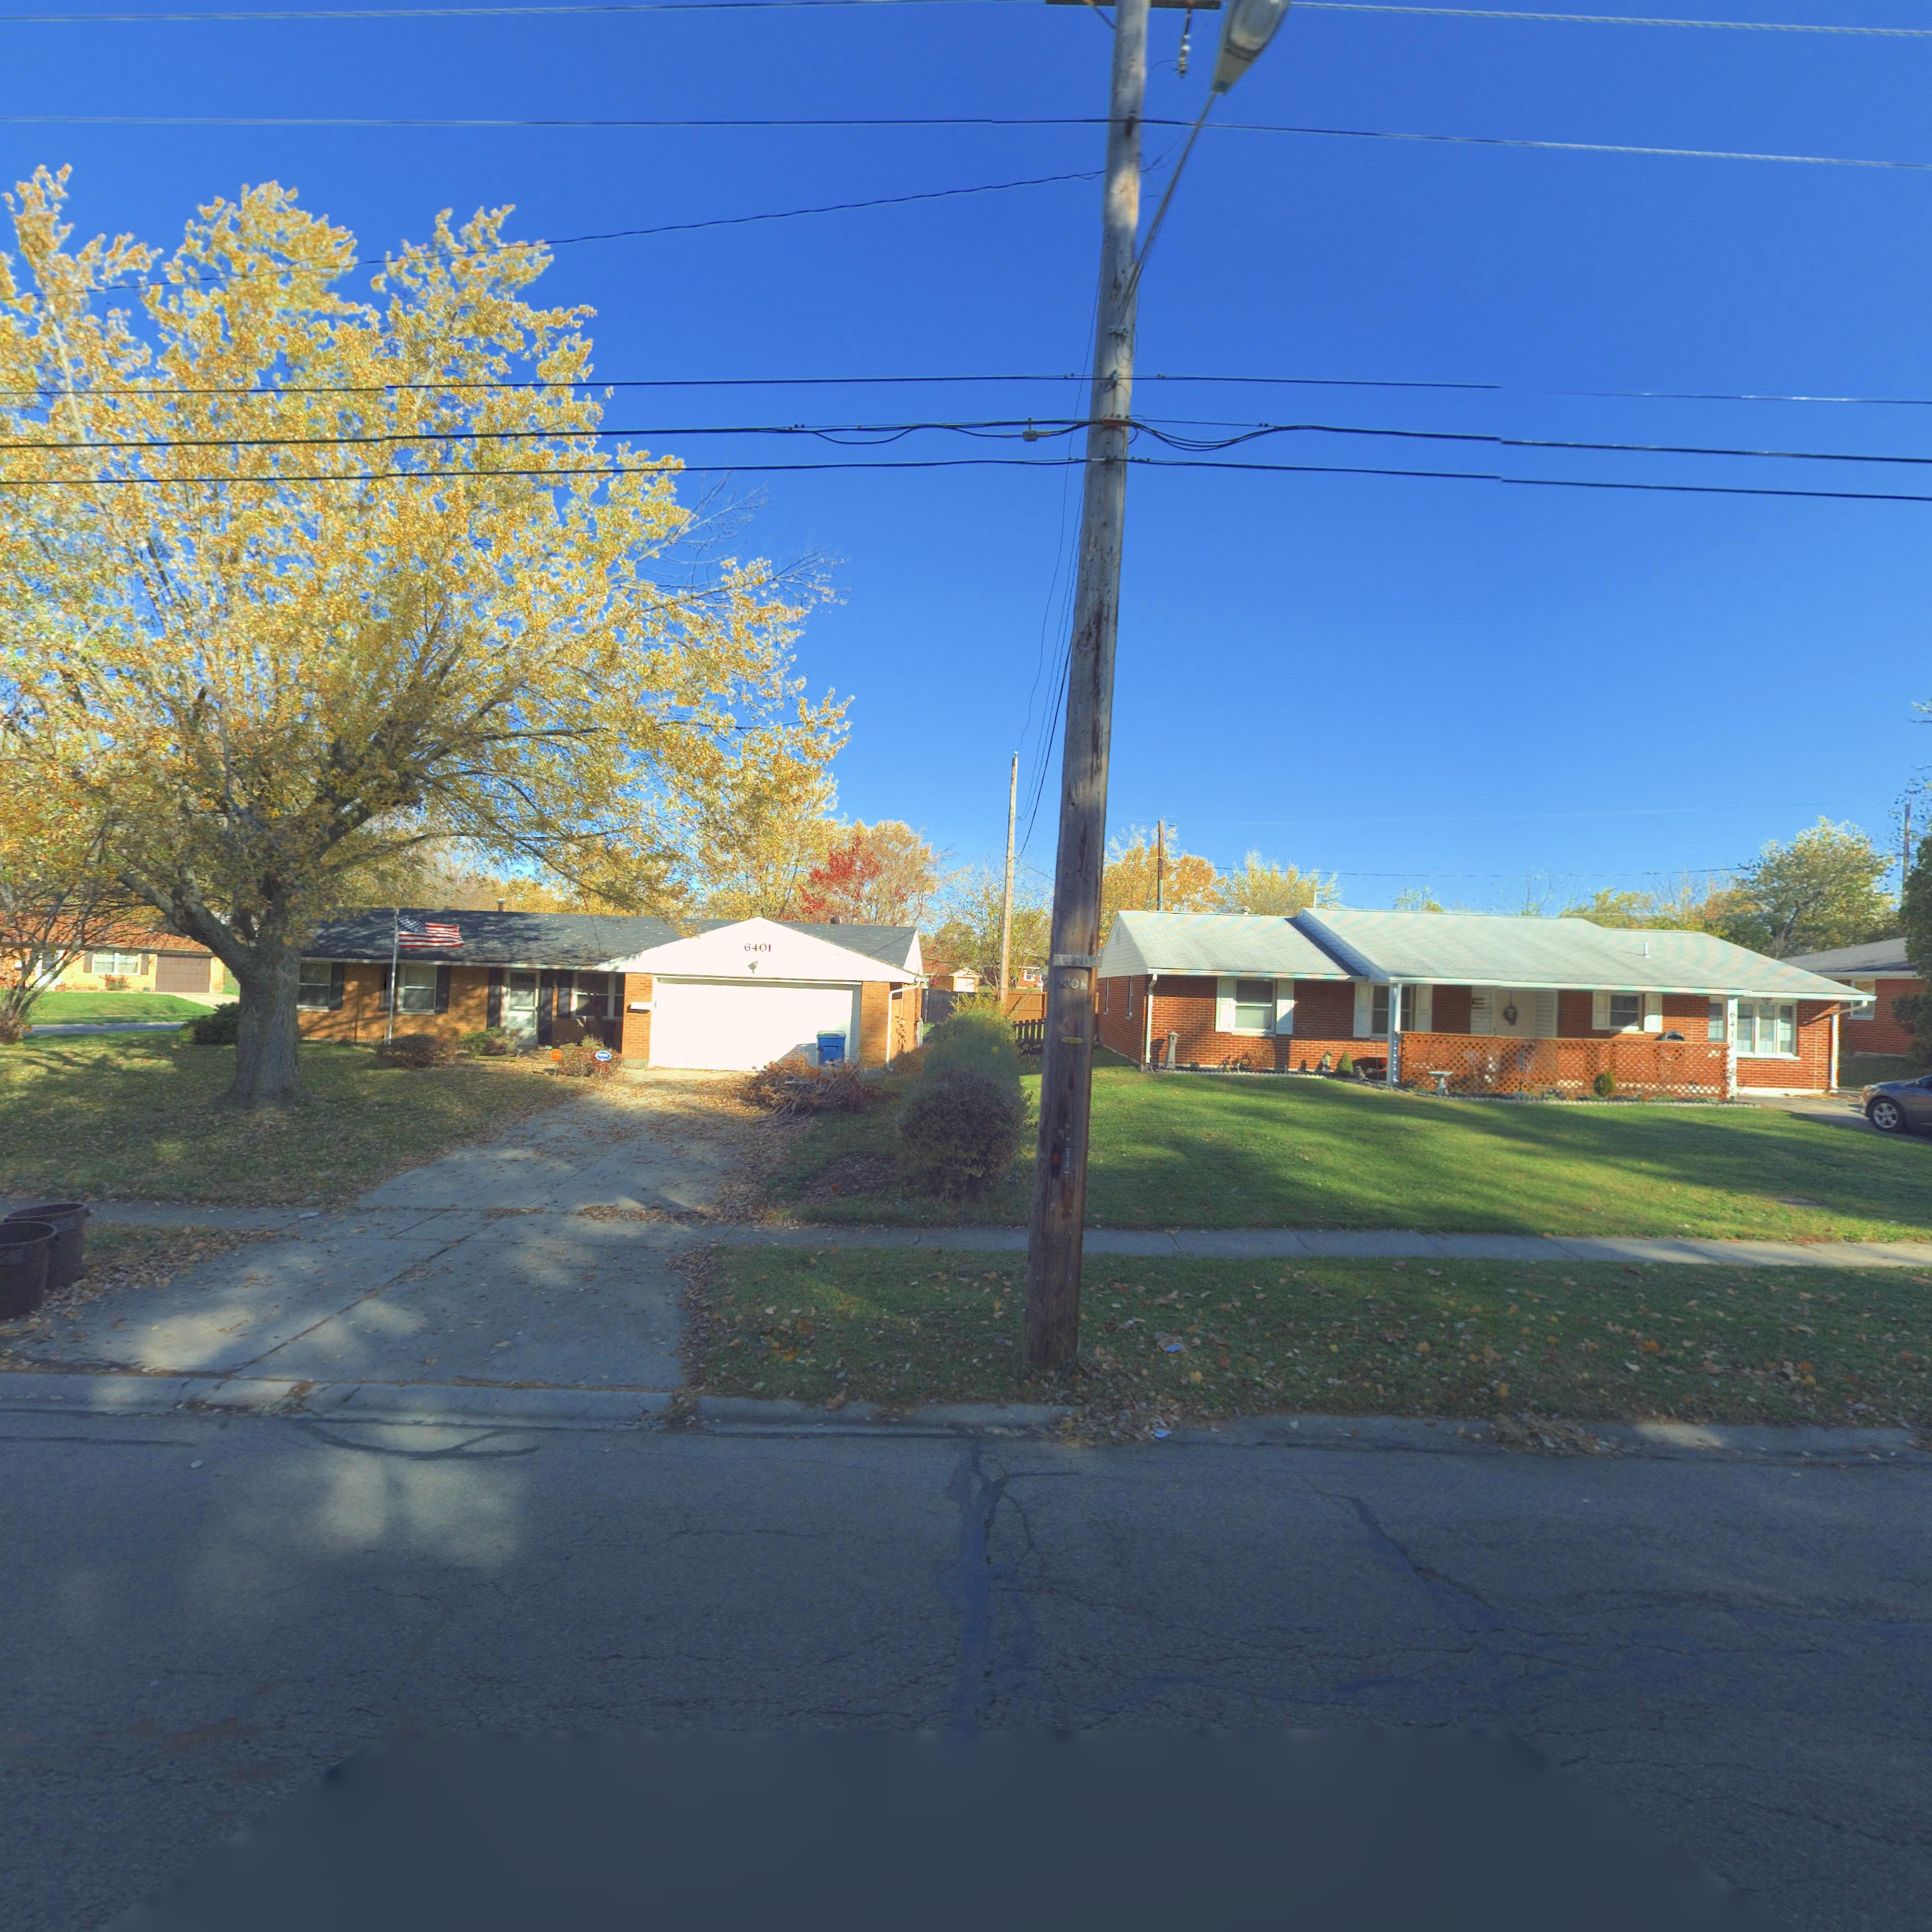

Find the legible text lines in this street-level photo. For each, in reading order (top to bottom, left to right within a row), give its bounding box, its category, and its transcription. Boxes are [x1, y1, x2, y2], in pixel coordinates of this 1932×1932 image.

[743, 942, 773, 953] StreetNumber: 6401
[1728, 1010, 1737, 1049] StreetNumber: 6411